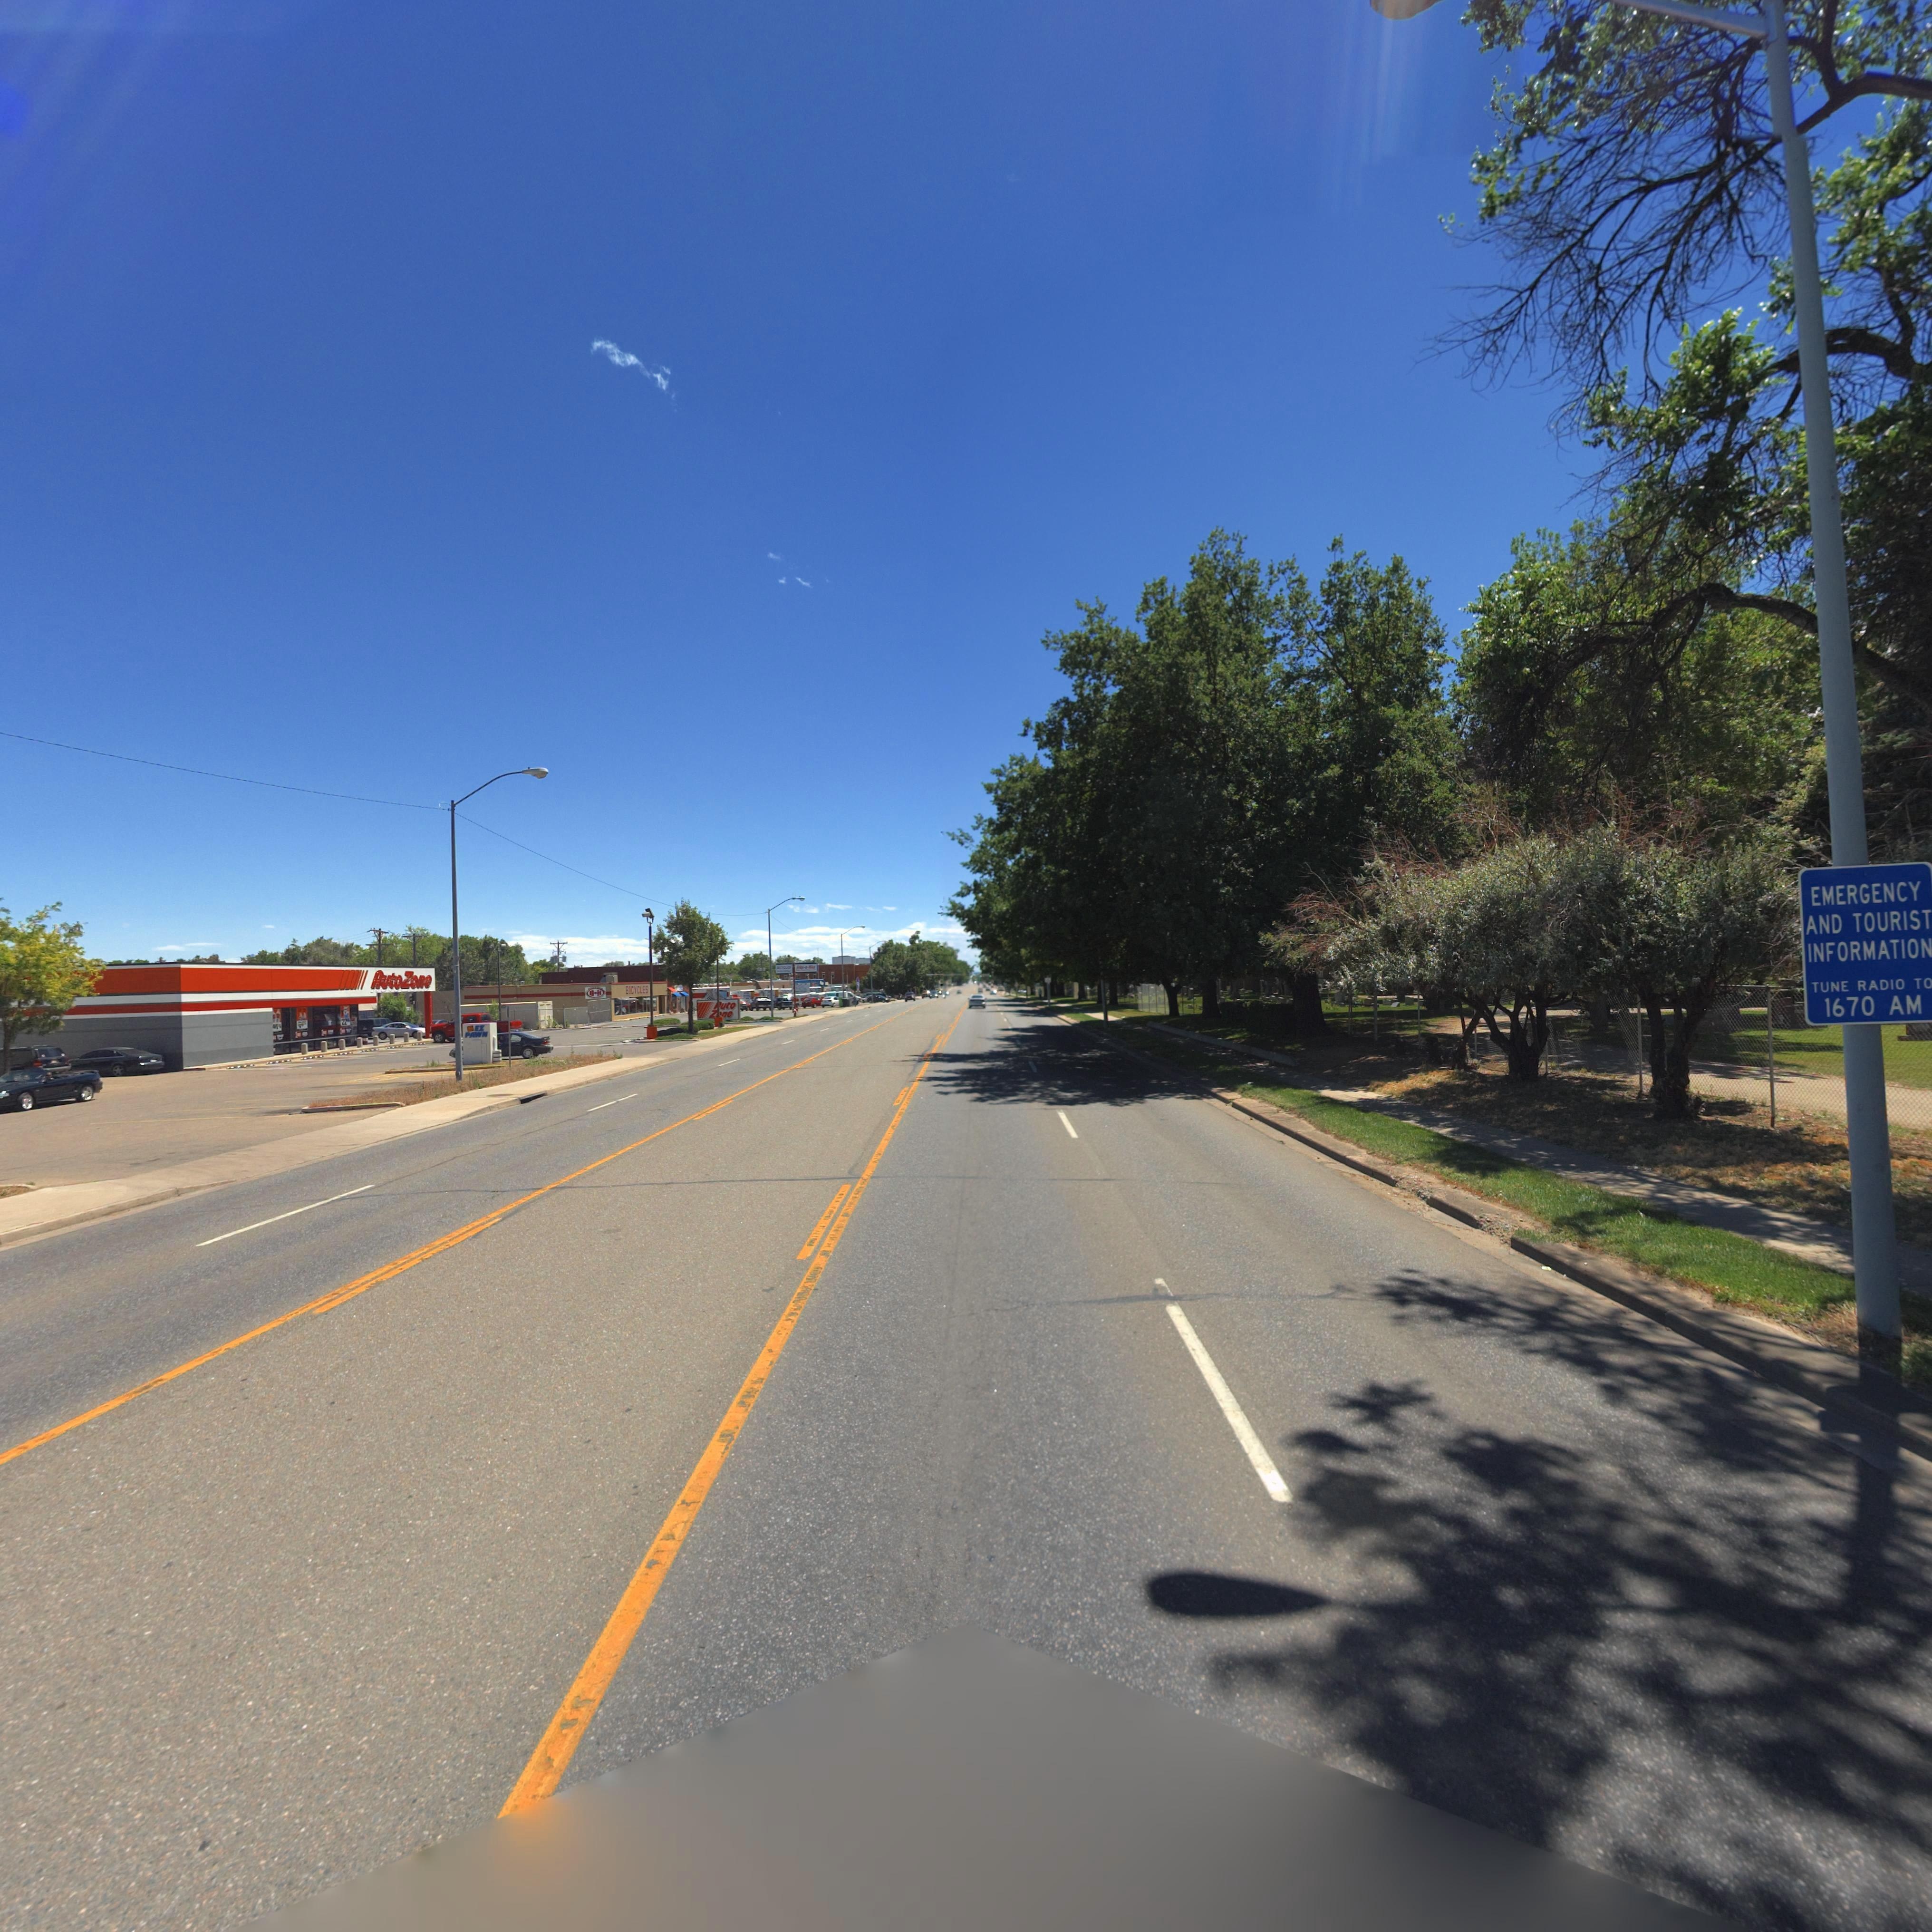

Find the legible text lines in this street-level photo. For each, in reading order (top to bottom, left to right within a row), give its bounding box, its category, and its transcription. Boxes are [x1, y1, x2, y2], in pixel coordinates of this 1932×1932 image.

[796, 965, 816, 969] BusinessName: Bike - n - Hike
[370, 969, 432, 989] BusinessName: AutoZone
[713, 1002, 736, 1009] BusinessName: *uto
[709, 1009, 733, 1018] BusinessName: Z*ne
[474, 1024, 485, 1031] BusinessName: EZ
[464, 1031, 488, 1038] BusinessName: PAWN